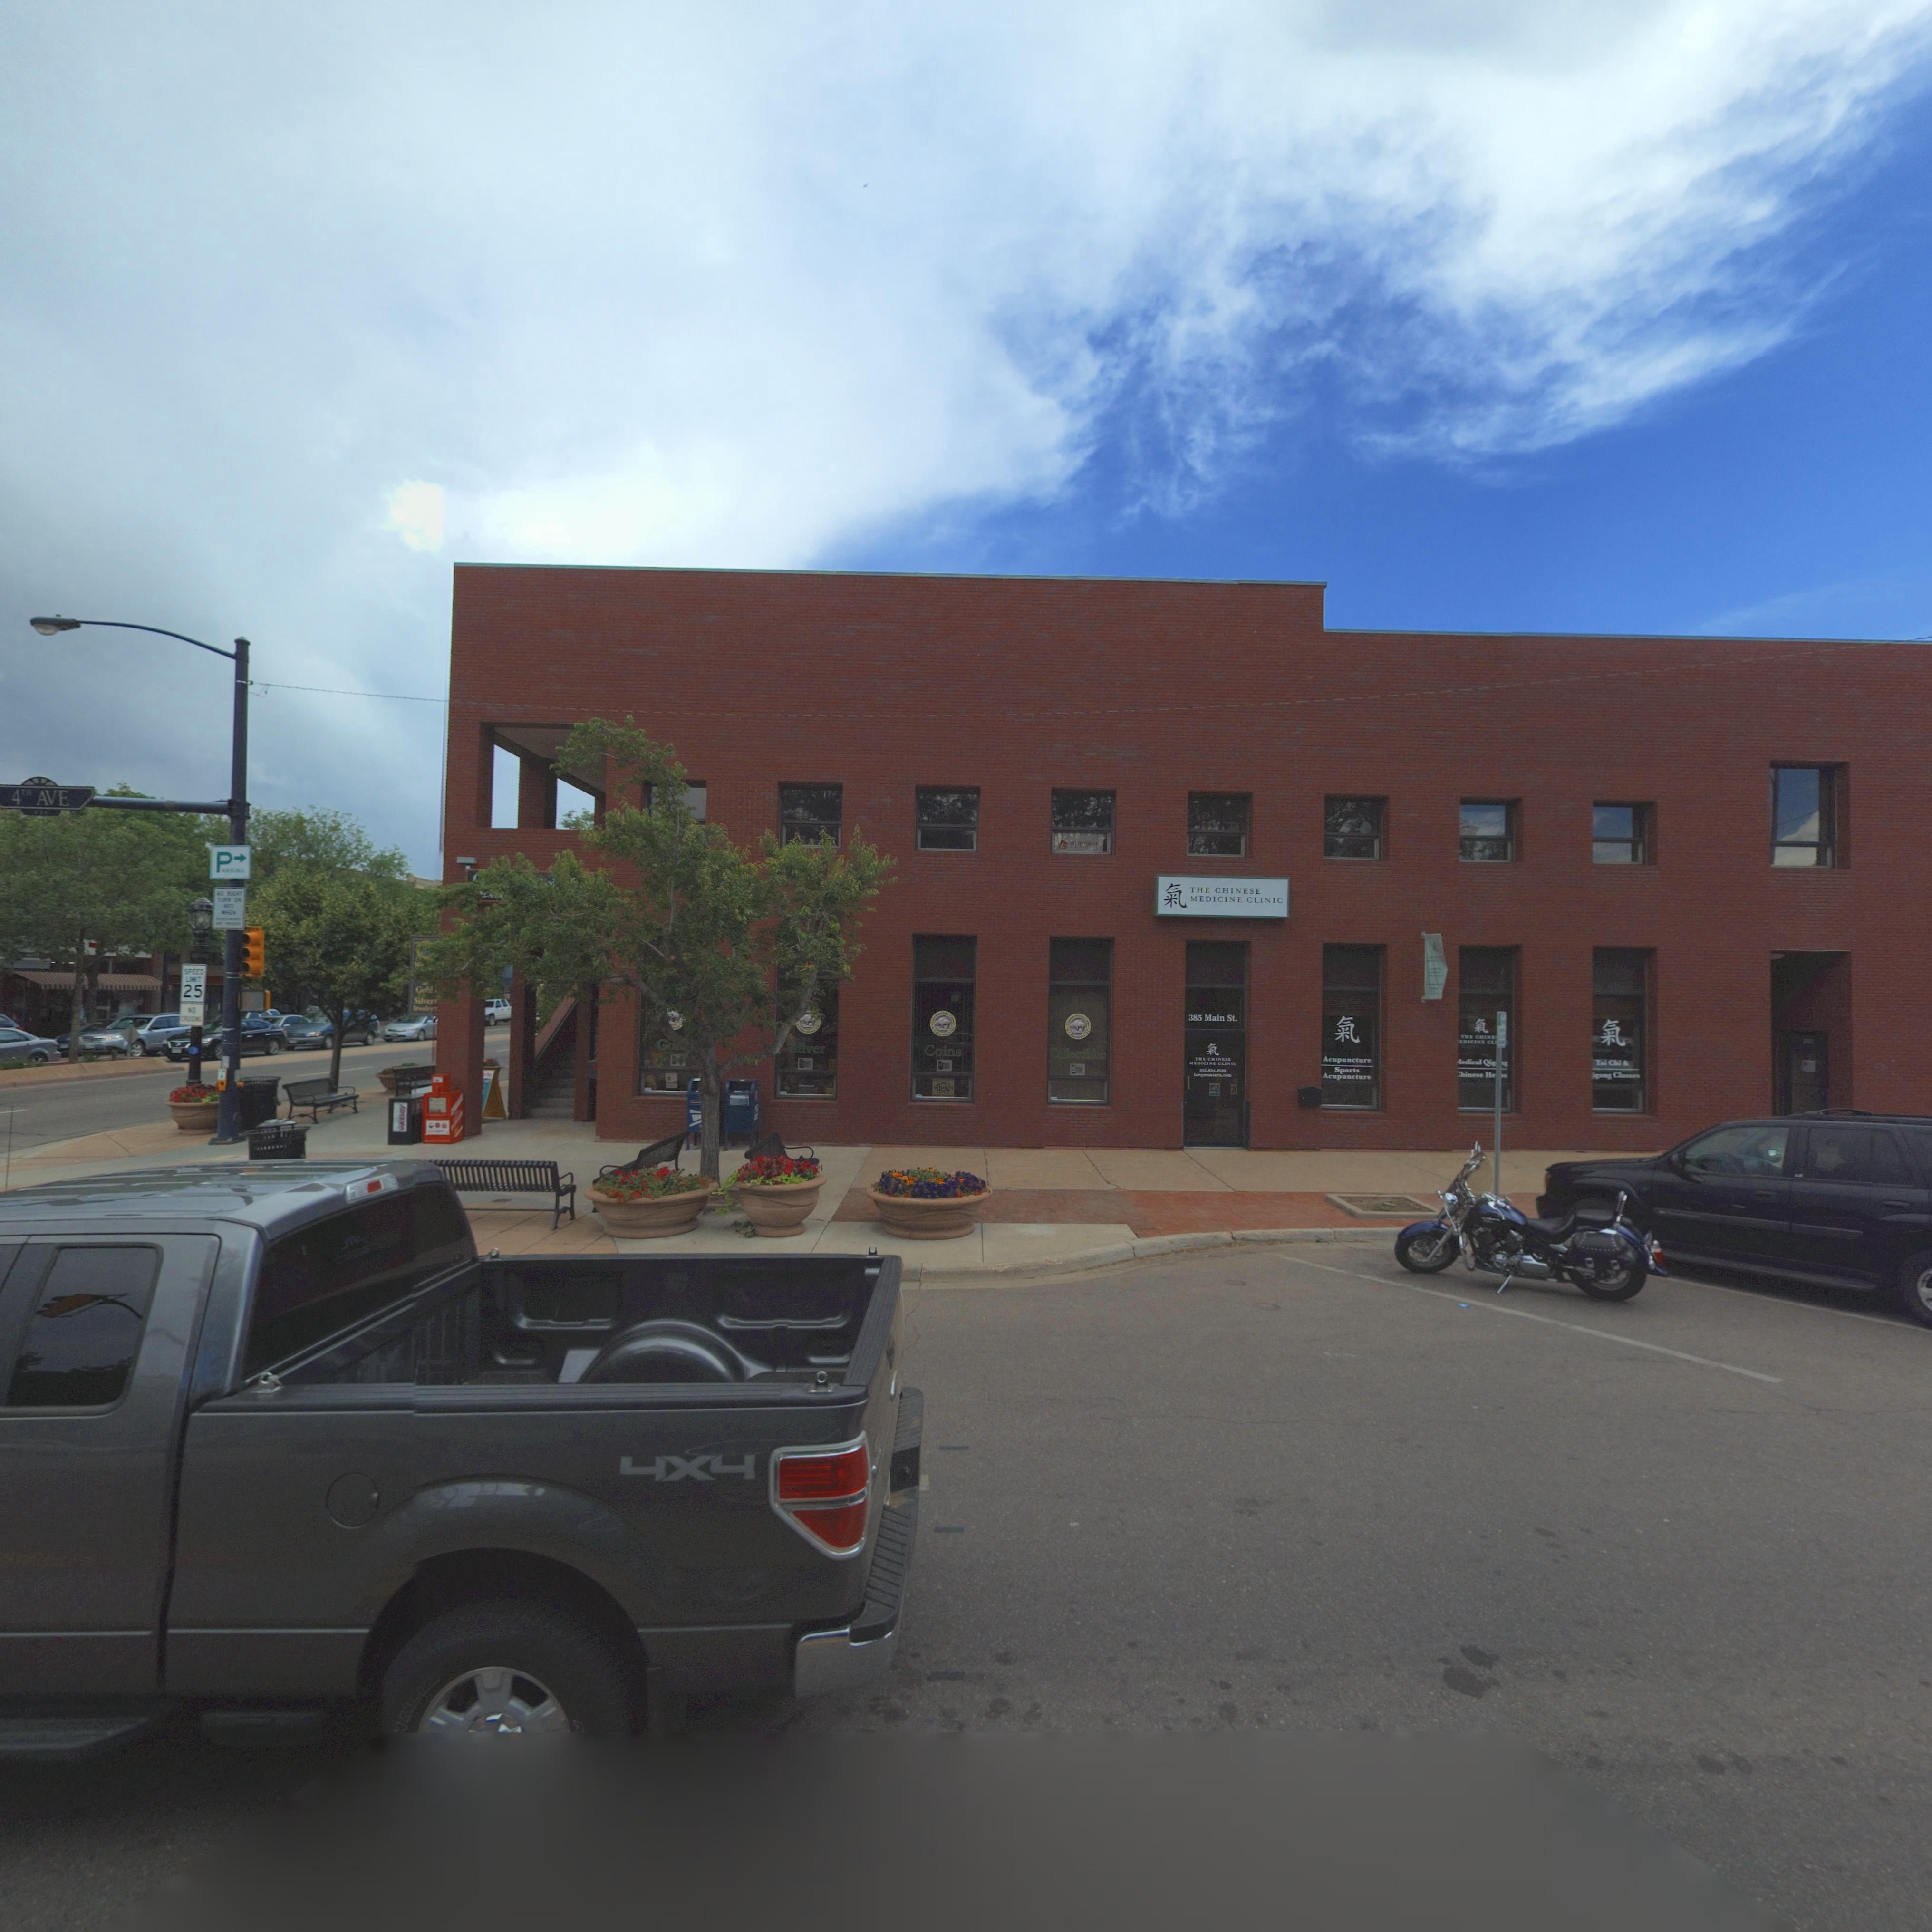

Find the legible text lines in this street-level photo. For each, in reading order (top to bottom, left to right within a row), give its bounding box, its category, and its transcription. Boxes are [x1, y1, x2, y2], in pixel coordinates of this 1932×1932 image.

[11, 790, 68, 806] StreetName: 4TH AVE
[1189, 887, 1260, 894] BusinessName: THE CHINESE
[1190, 895, 1283, 903] BusinessName: MEDICINE CLINIC
[1188, 1014, 1202, 1021] StreetNumber: 385
[1204, 1014, 1237, 1022] StreetName: Main St.